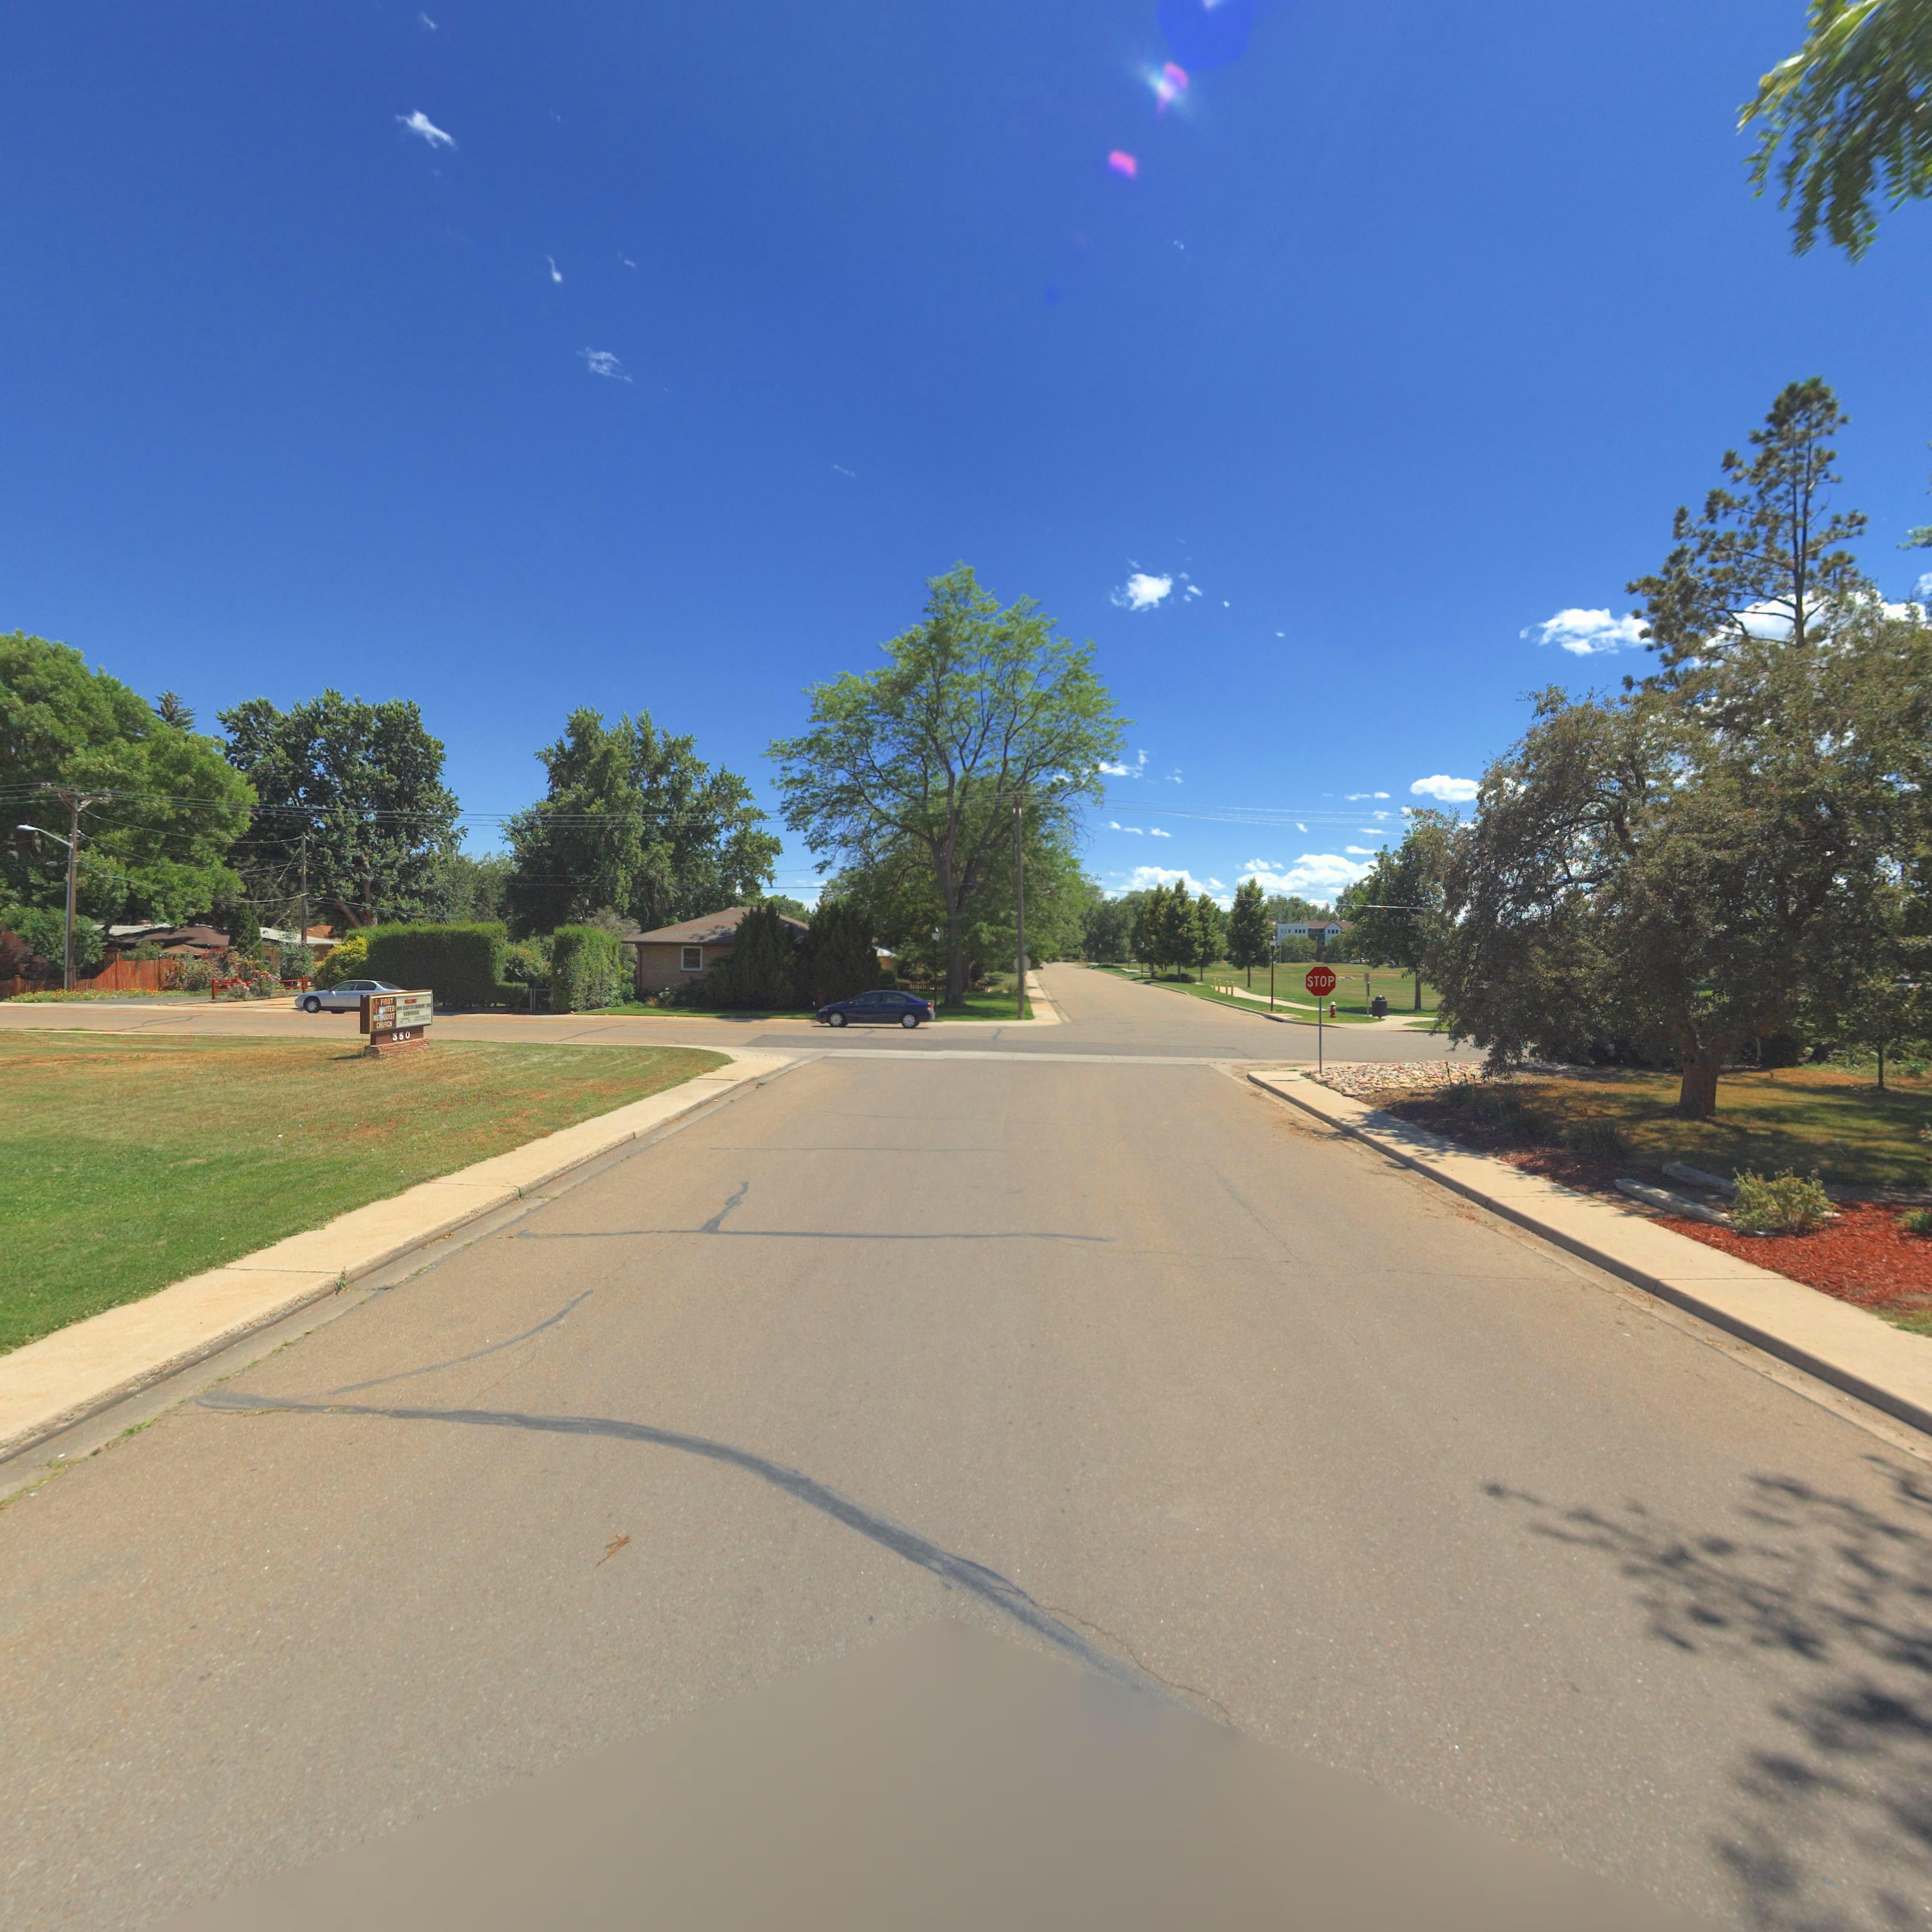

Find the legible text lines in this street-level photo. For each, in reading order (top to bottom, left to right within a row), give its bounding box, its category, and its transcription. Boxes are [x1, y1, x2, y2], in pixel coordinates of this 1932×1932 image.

[380, 997, 394, 1005] BusinessName: FIRST
[378, 1005, 395, 1013] BusinessName: **I*ED
[372, 1012, 396, 1022] BusinessName: *ETHO**ST
[376, 1020, 392, 1029] BusinessName: C*U*CH
[392, 1031, 410, 1041] StreetNumber: *50